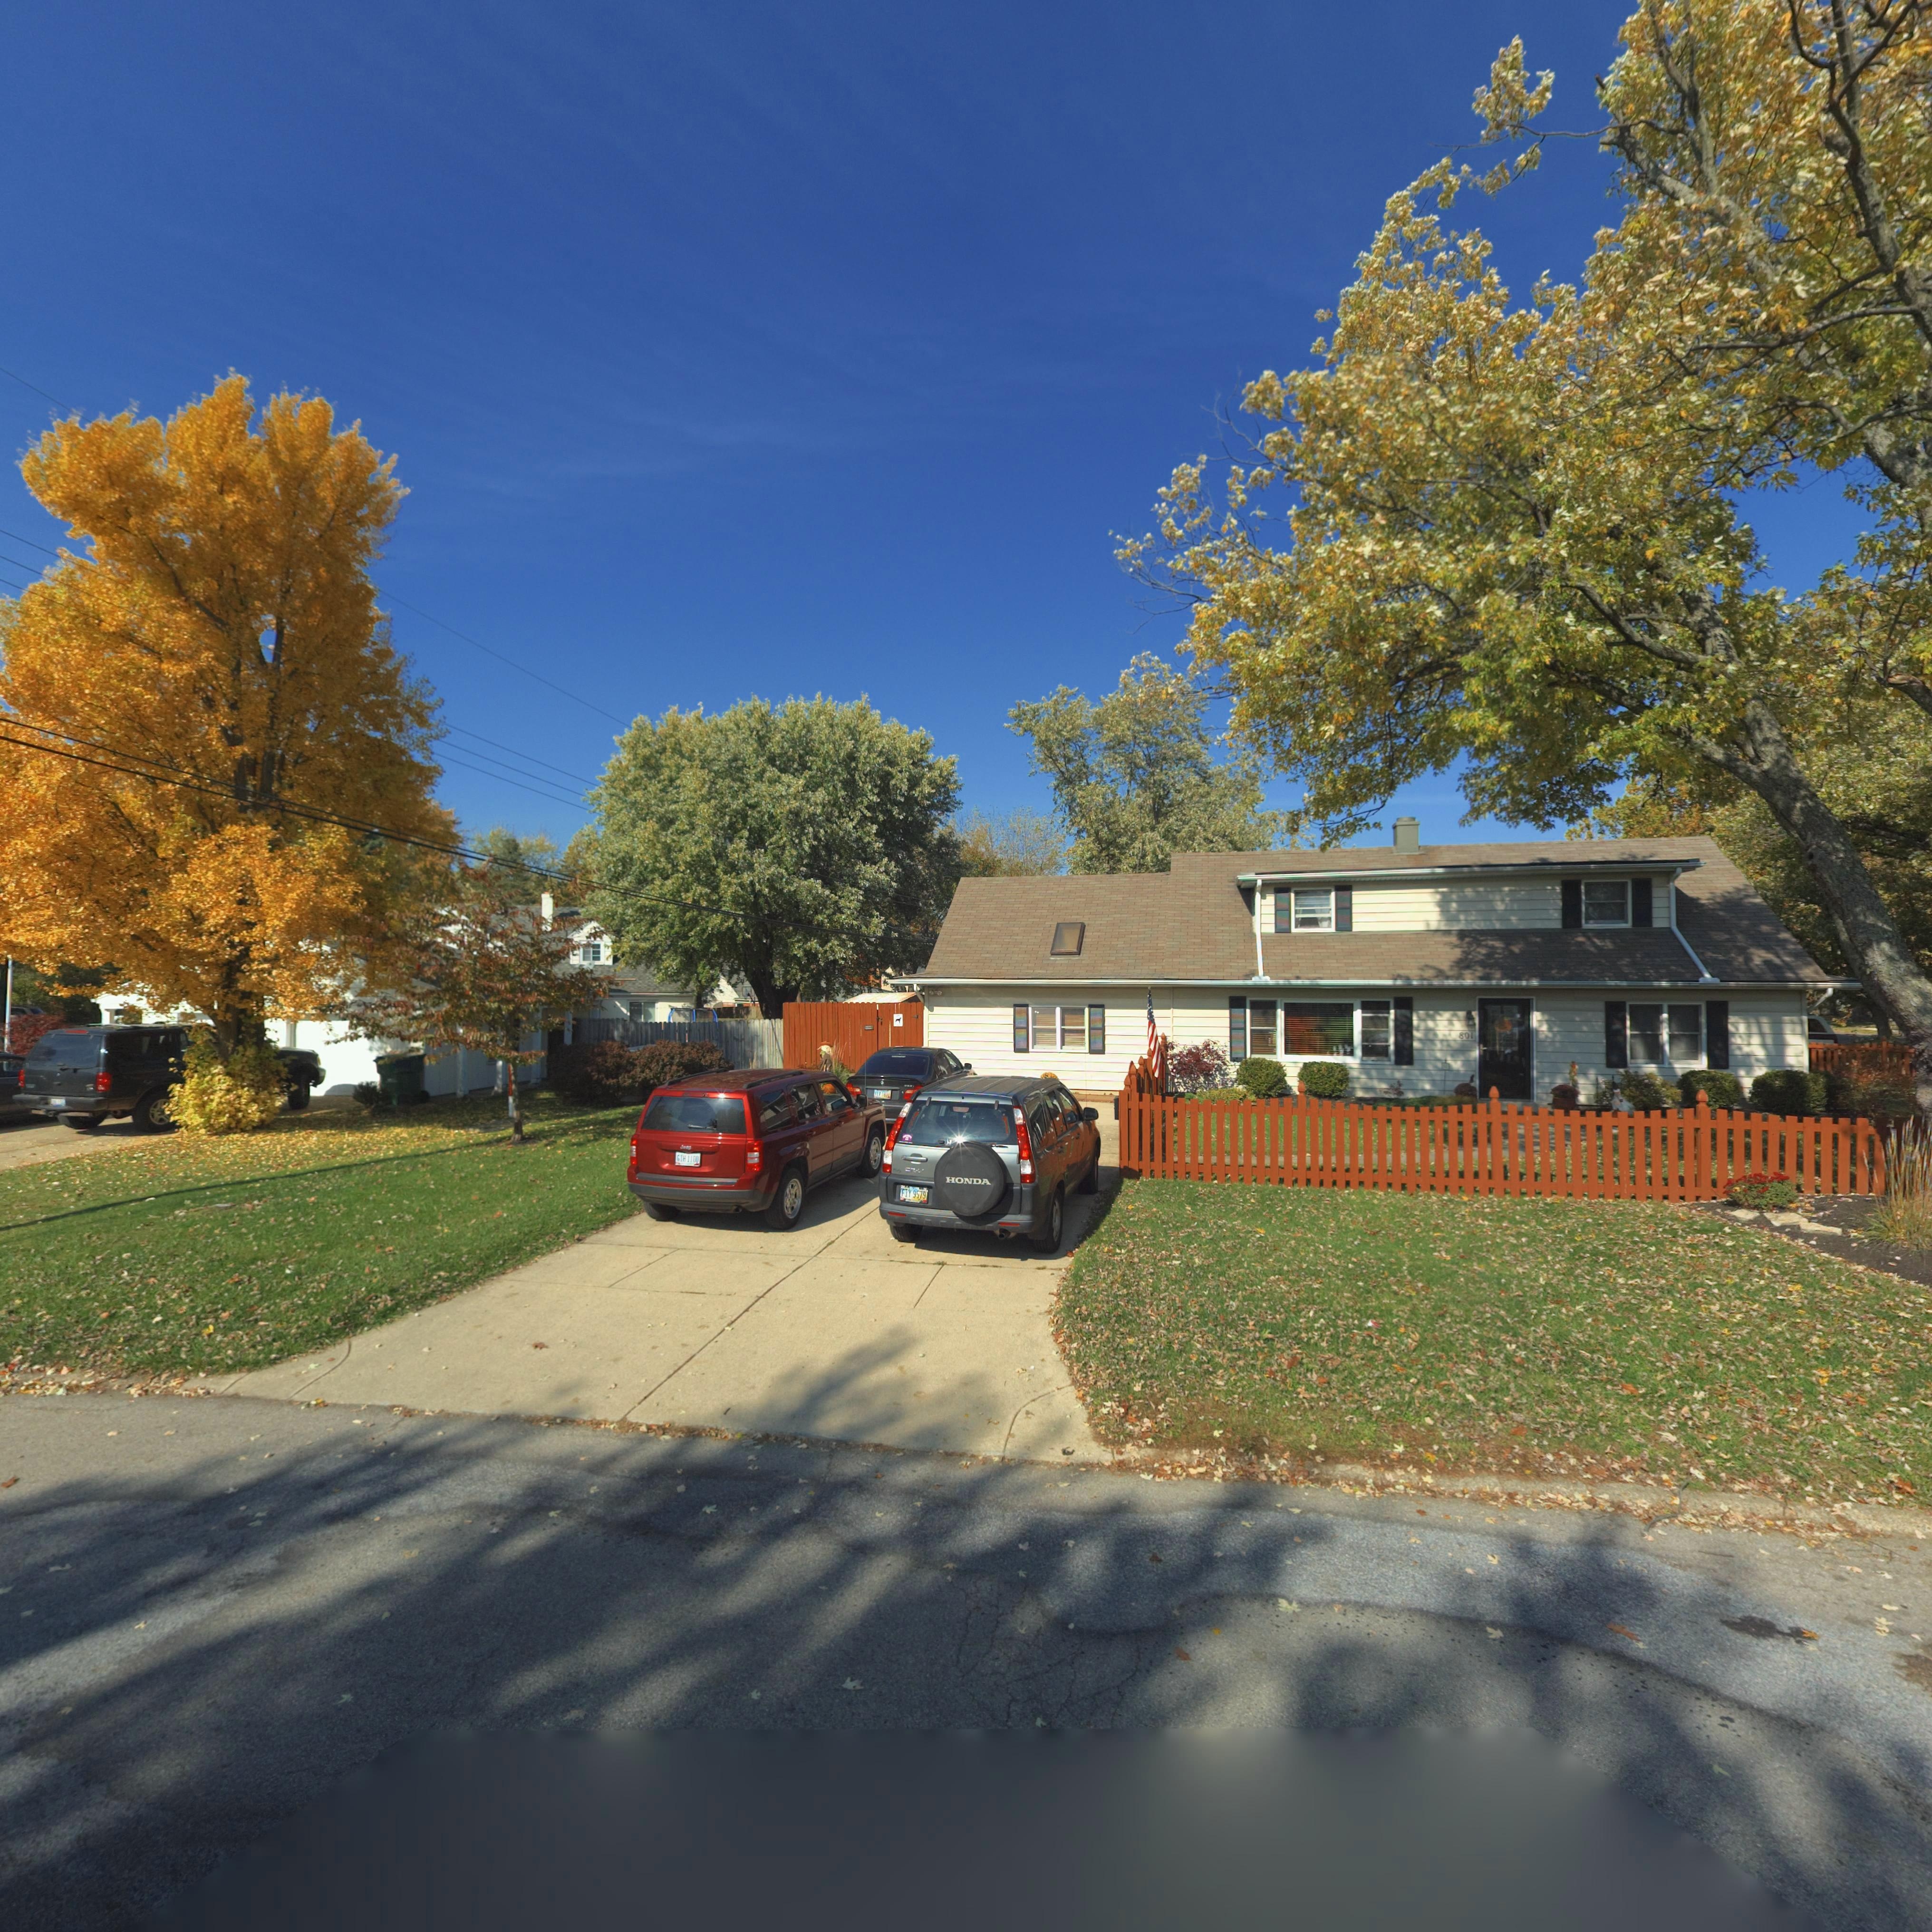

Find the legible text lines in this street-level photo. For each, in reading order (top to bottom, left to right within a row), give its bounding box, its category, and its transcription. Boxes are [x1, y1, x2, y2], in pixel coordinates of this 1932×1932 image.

[1458, 1031, 1474, 1040] StreetNumber: 801
[676, 1153, 700, 1164] None: GIH 1100
[904, 1165, 926, 1175] None: CR-V
[945, 1175, 993, 1187] None: HONDA
[900, 1186, 927, 1201] None: FIY 9579